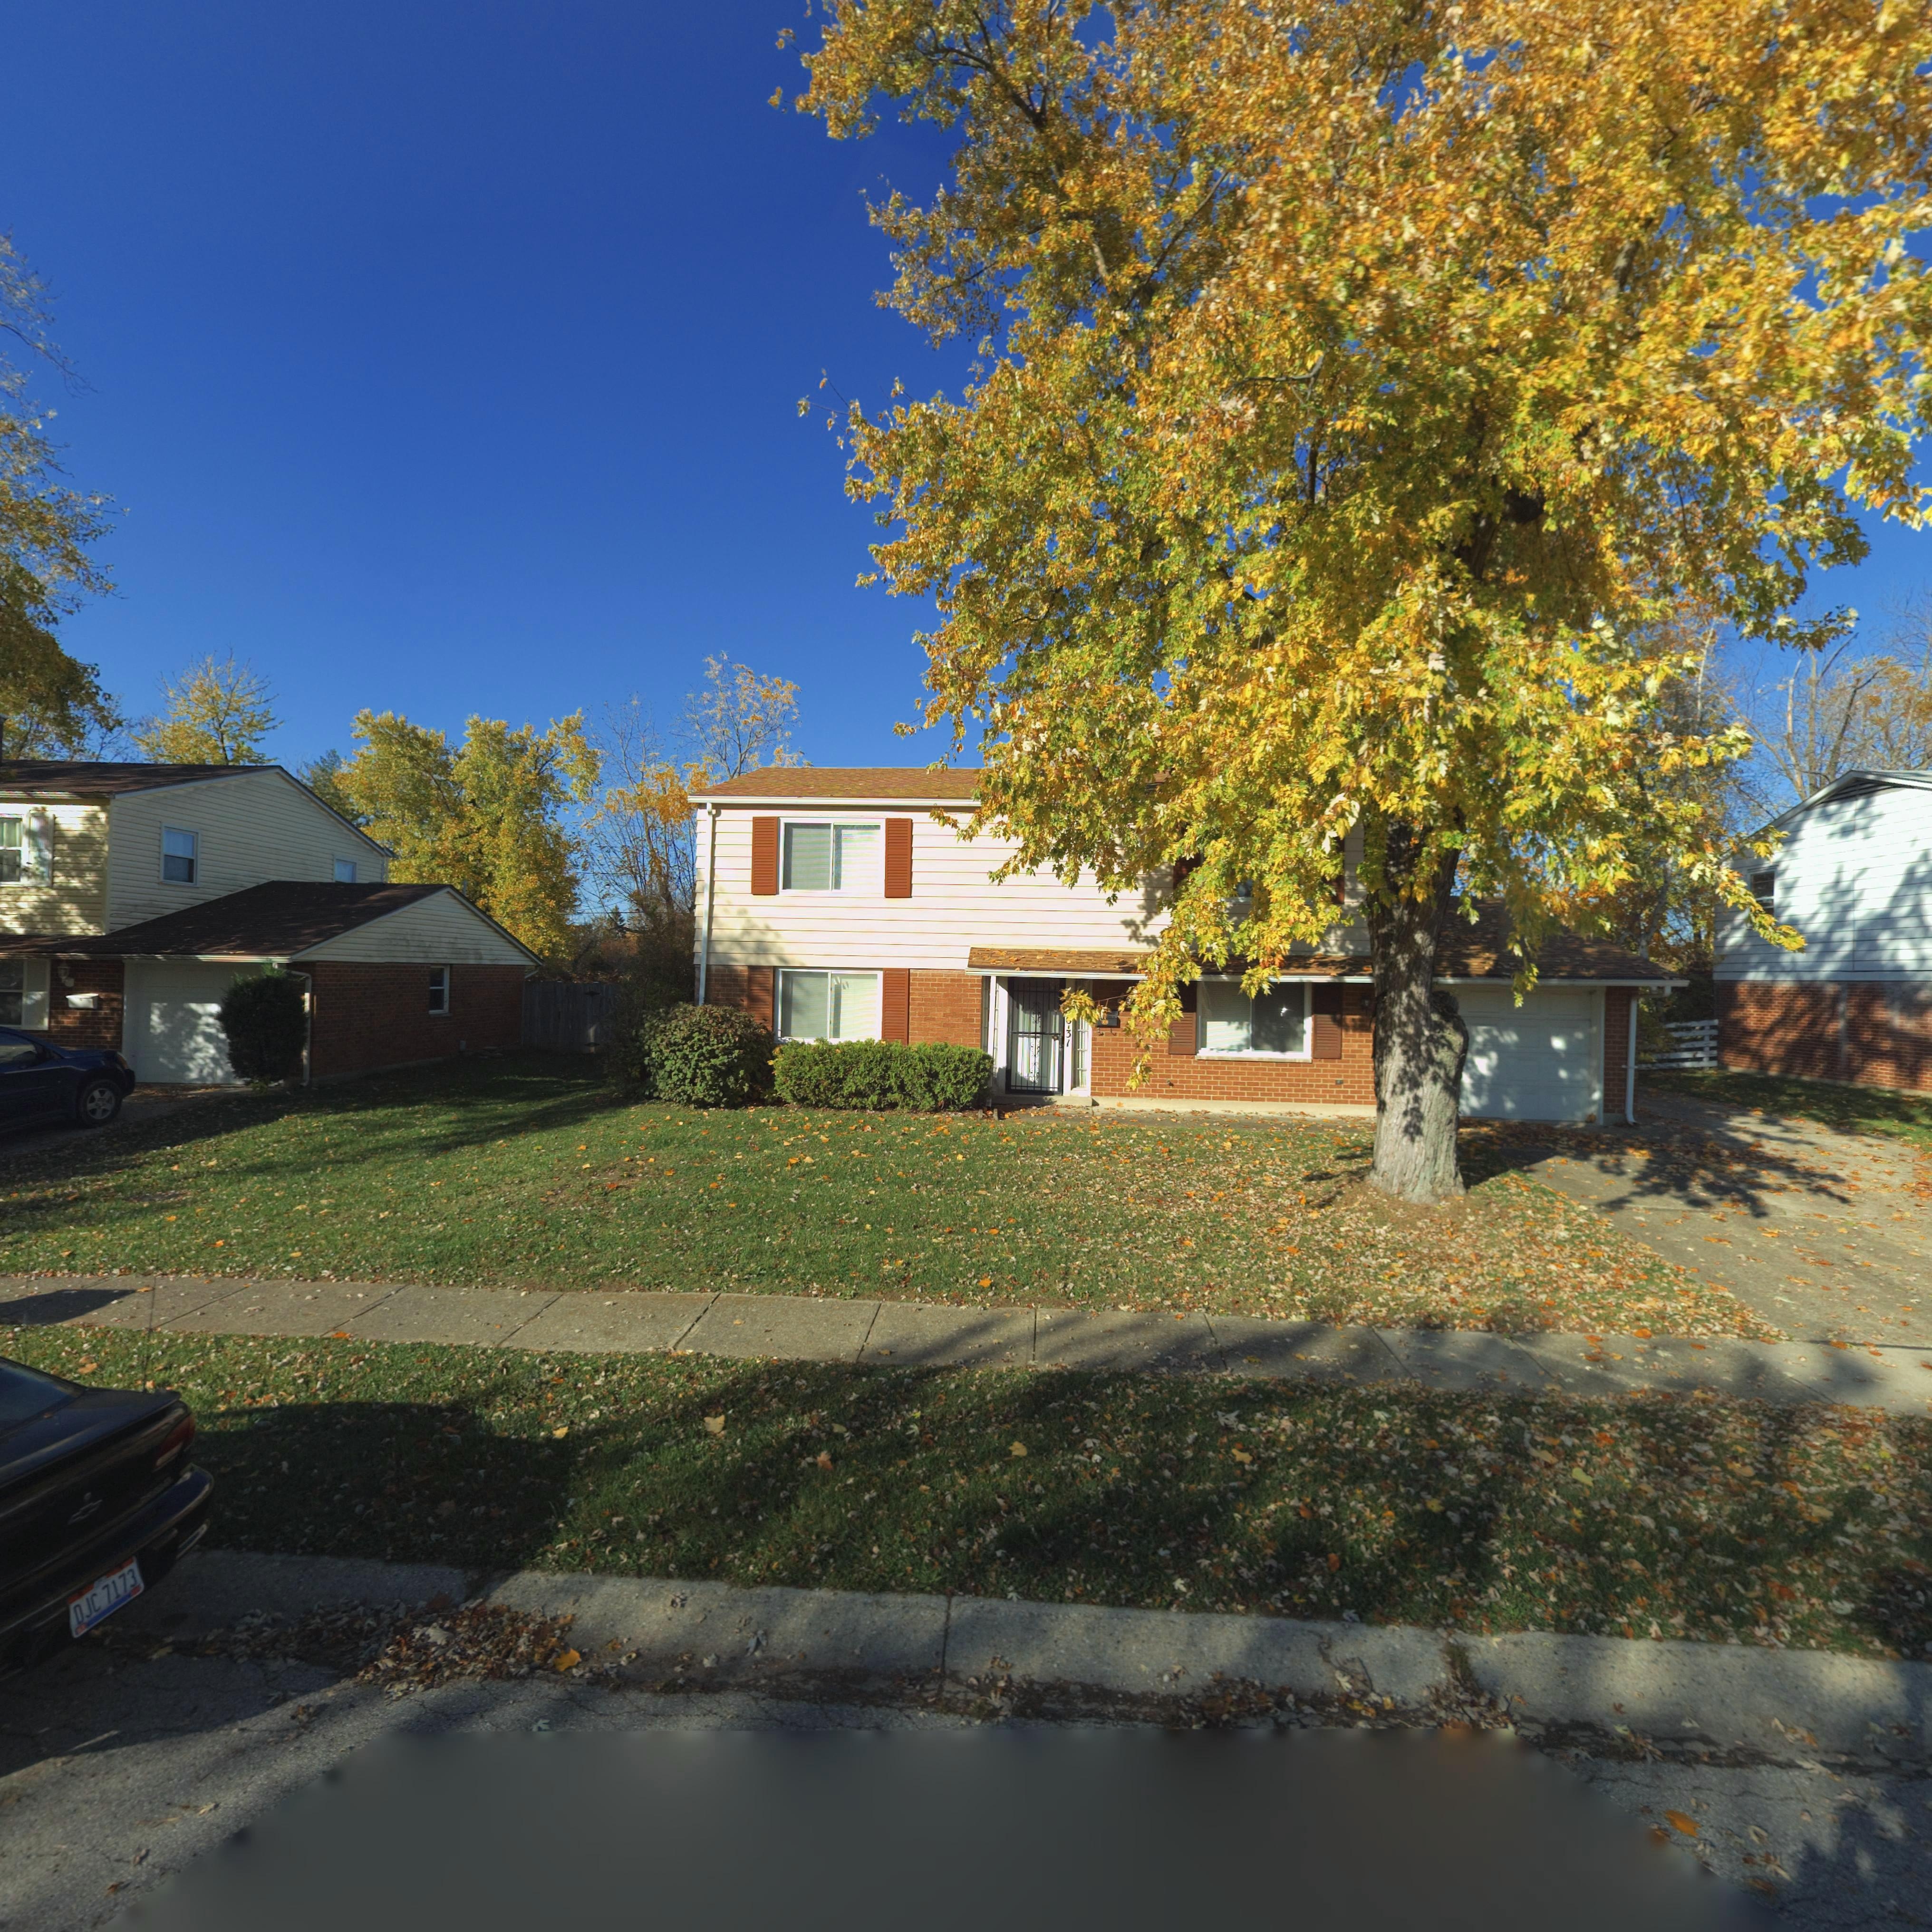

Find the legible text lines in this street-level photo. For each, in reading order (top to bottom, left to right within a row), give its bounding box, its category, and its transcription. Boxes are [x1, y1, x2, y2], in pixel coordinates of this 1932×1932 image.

[1065, 1029, 1072, 1048] StreetNumber: 31